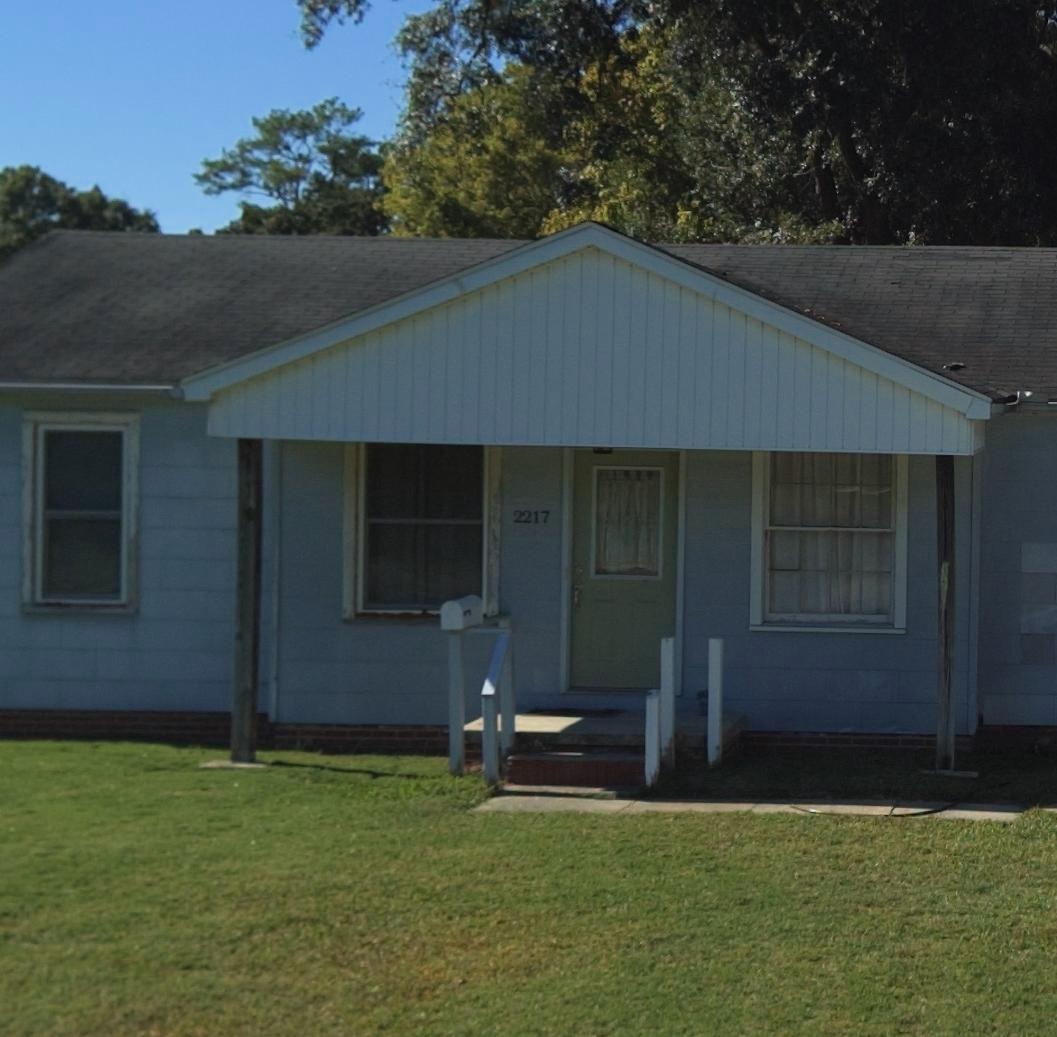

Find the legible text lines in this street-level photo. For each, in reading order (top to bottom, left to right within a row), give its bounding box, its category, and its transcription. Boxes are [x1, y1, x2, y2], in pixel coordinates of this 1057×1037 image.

[511, 508, 553, 525] StreetNumber: 2217